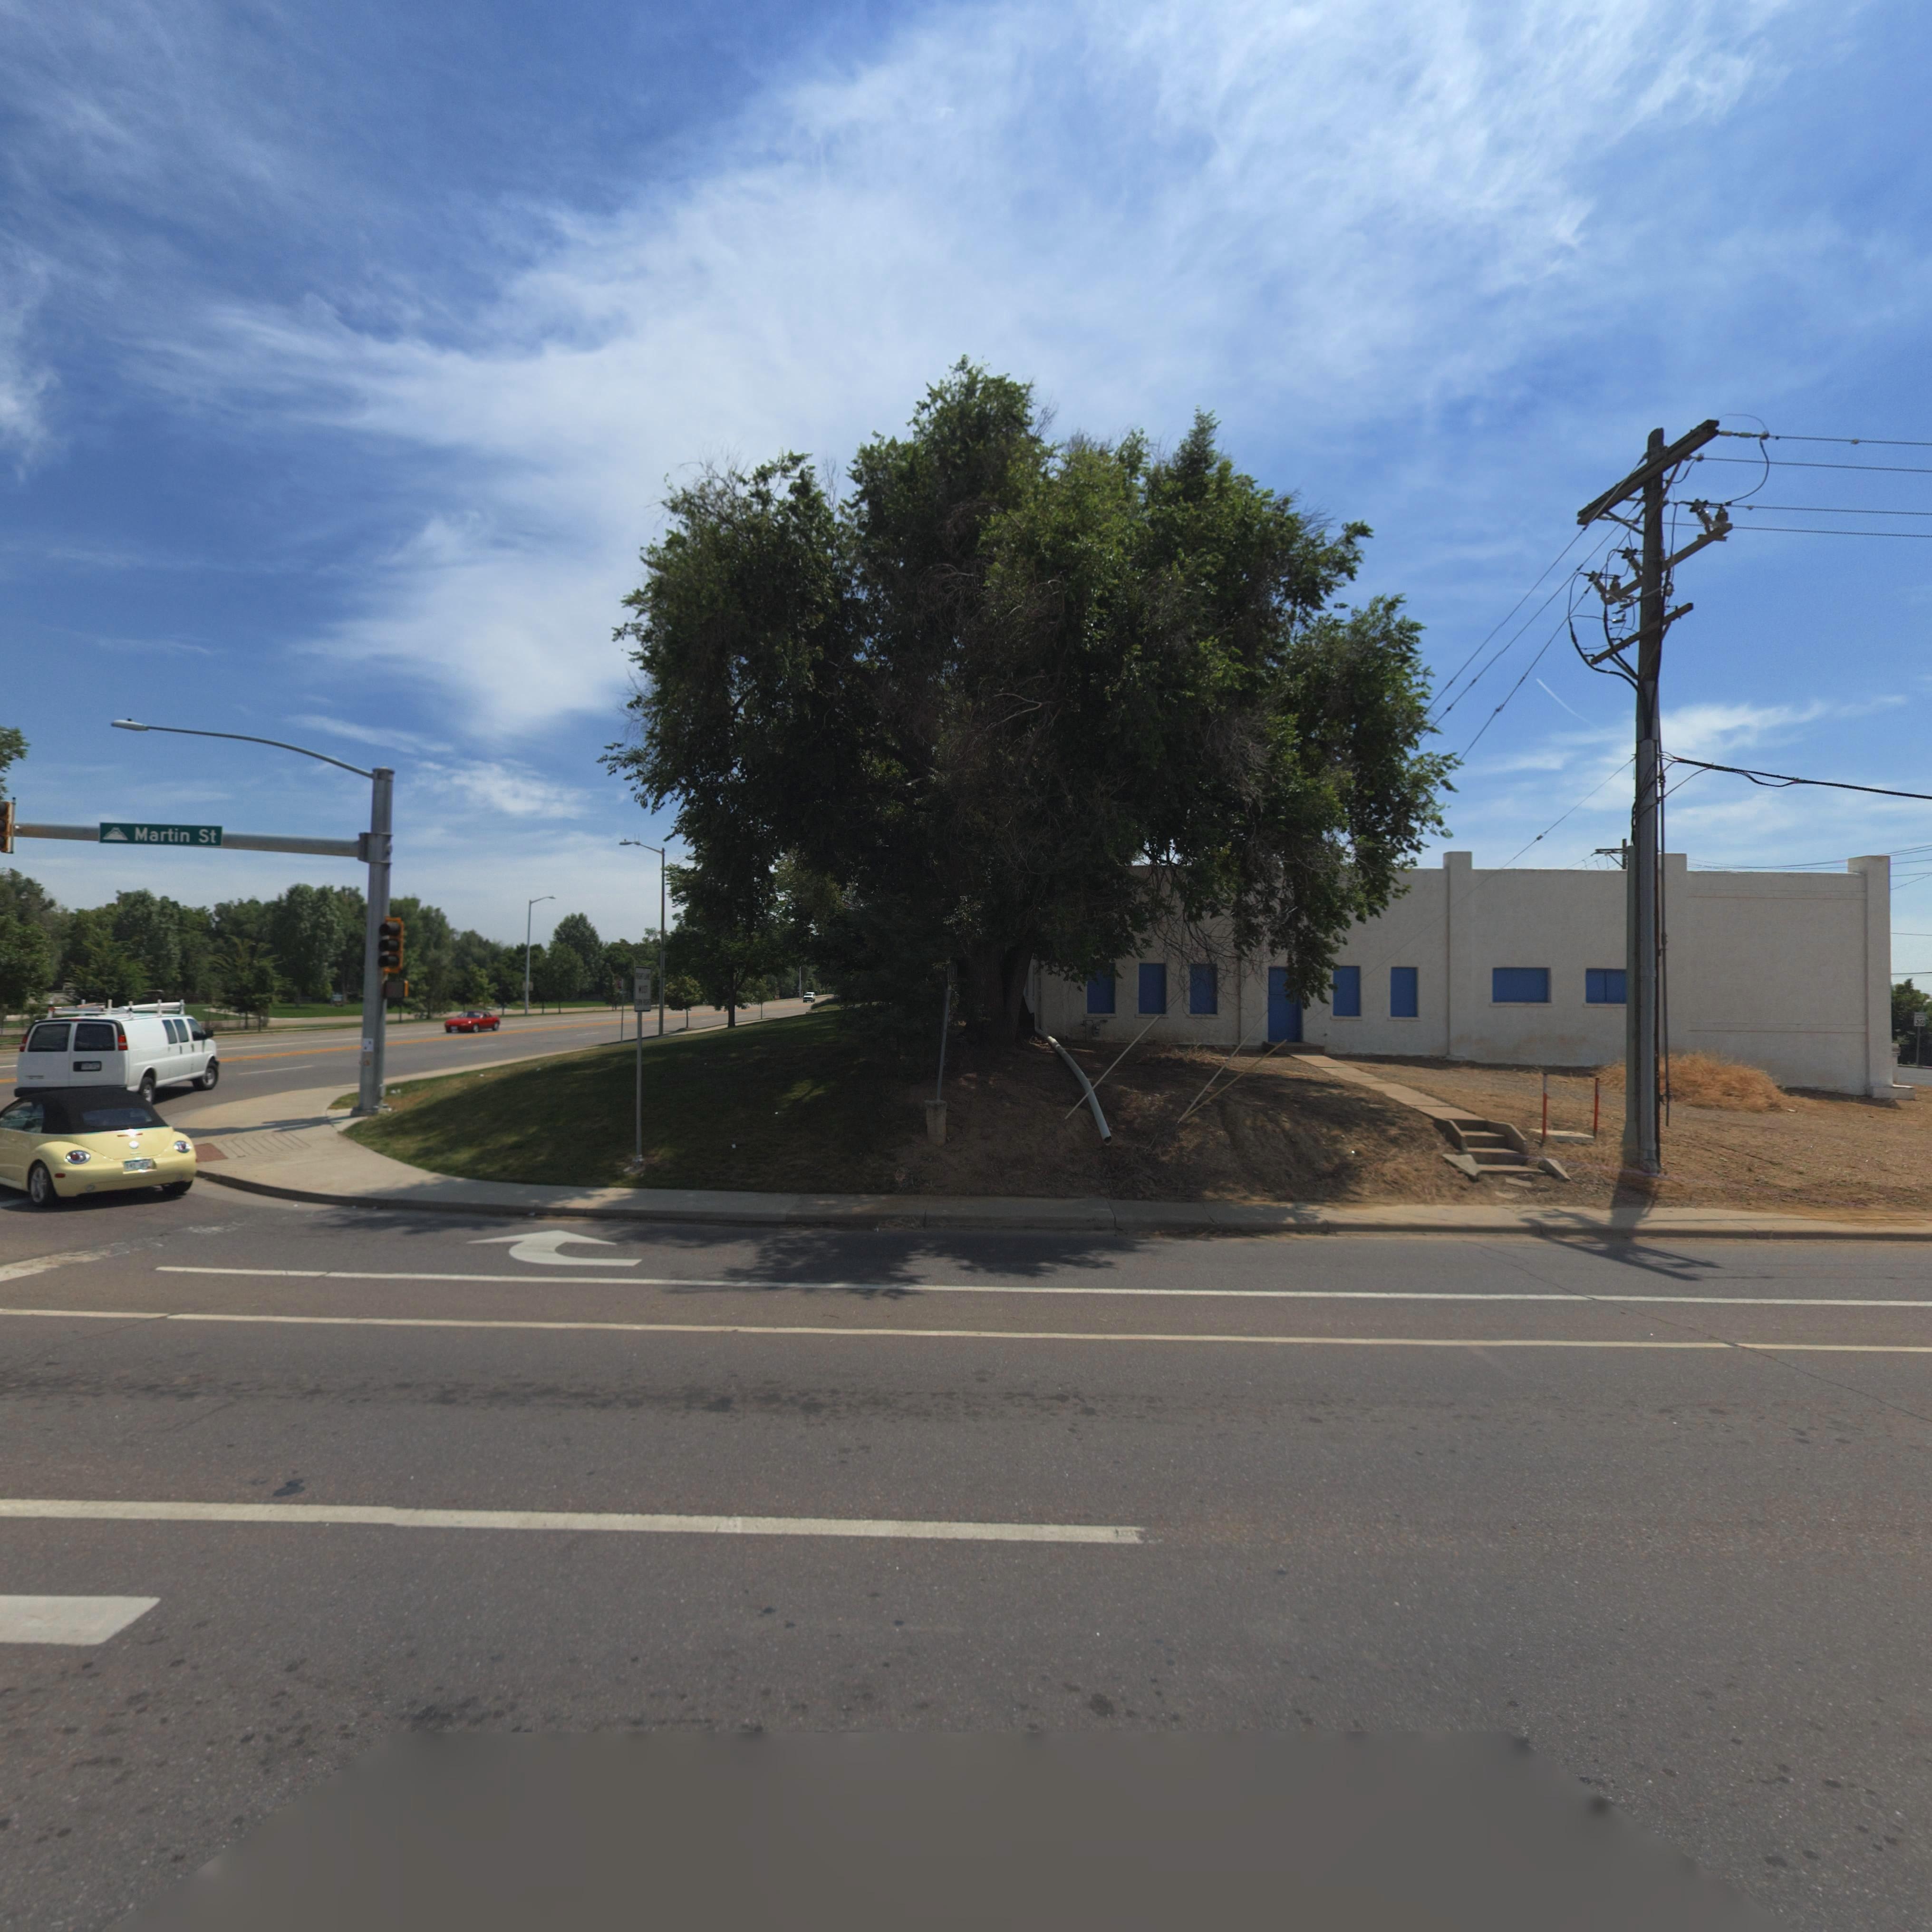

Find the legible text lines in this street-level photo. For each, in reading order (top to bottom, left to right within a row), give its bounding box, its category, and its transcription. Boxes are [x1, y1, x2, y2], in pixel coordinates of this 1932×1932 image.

[134, 826, 216, 843] StreetName: Martin St